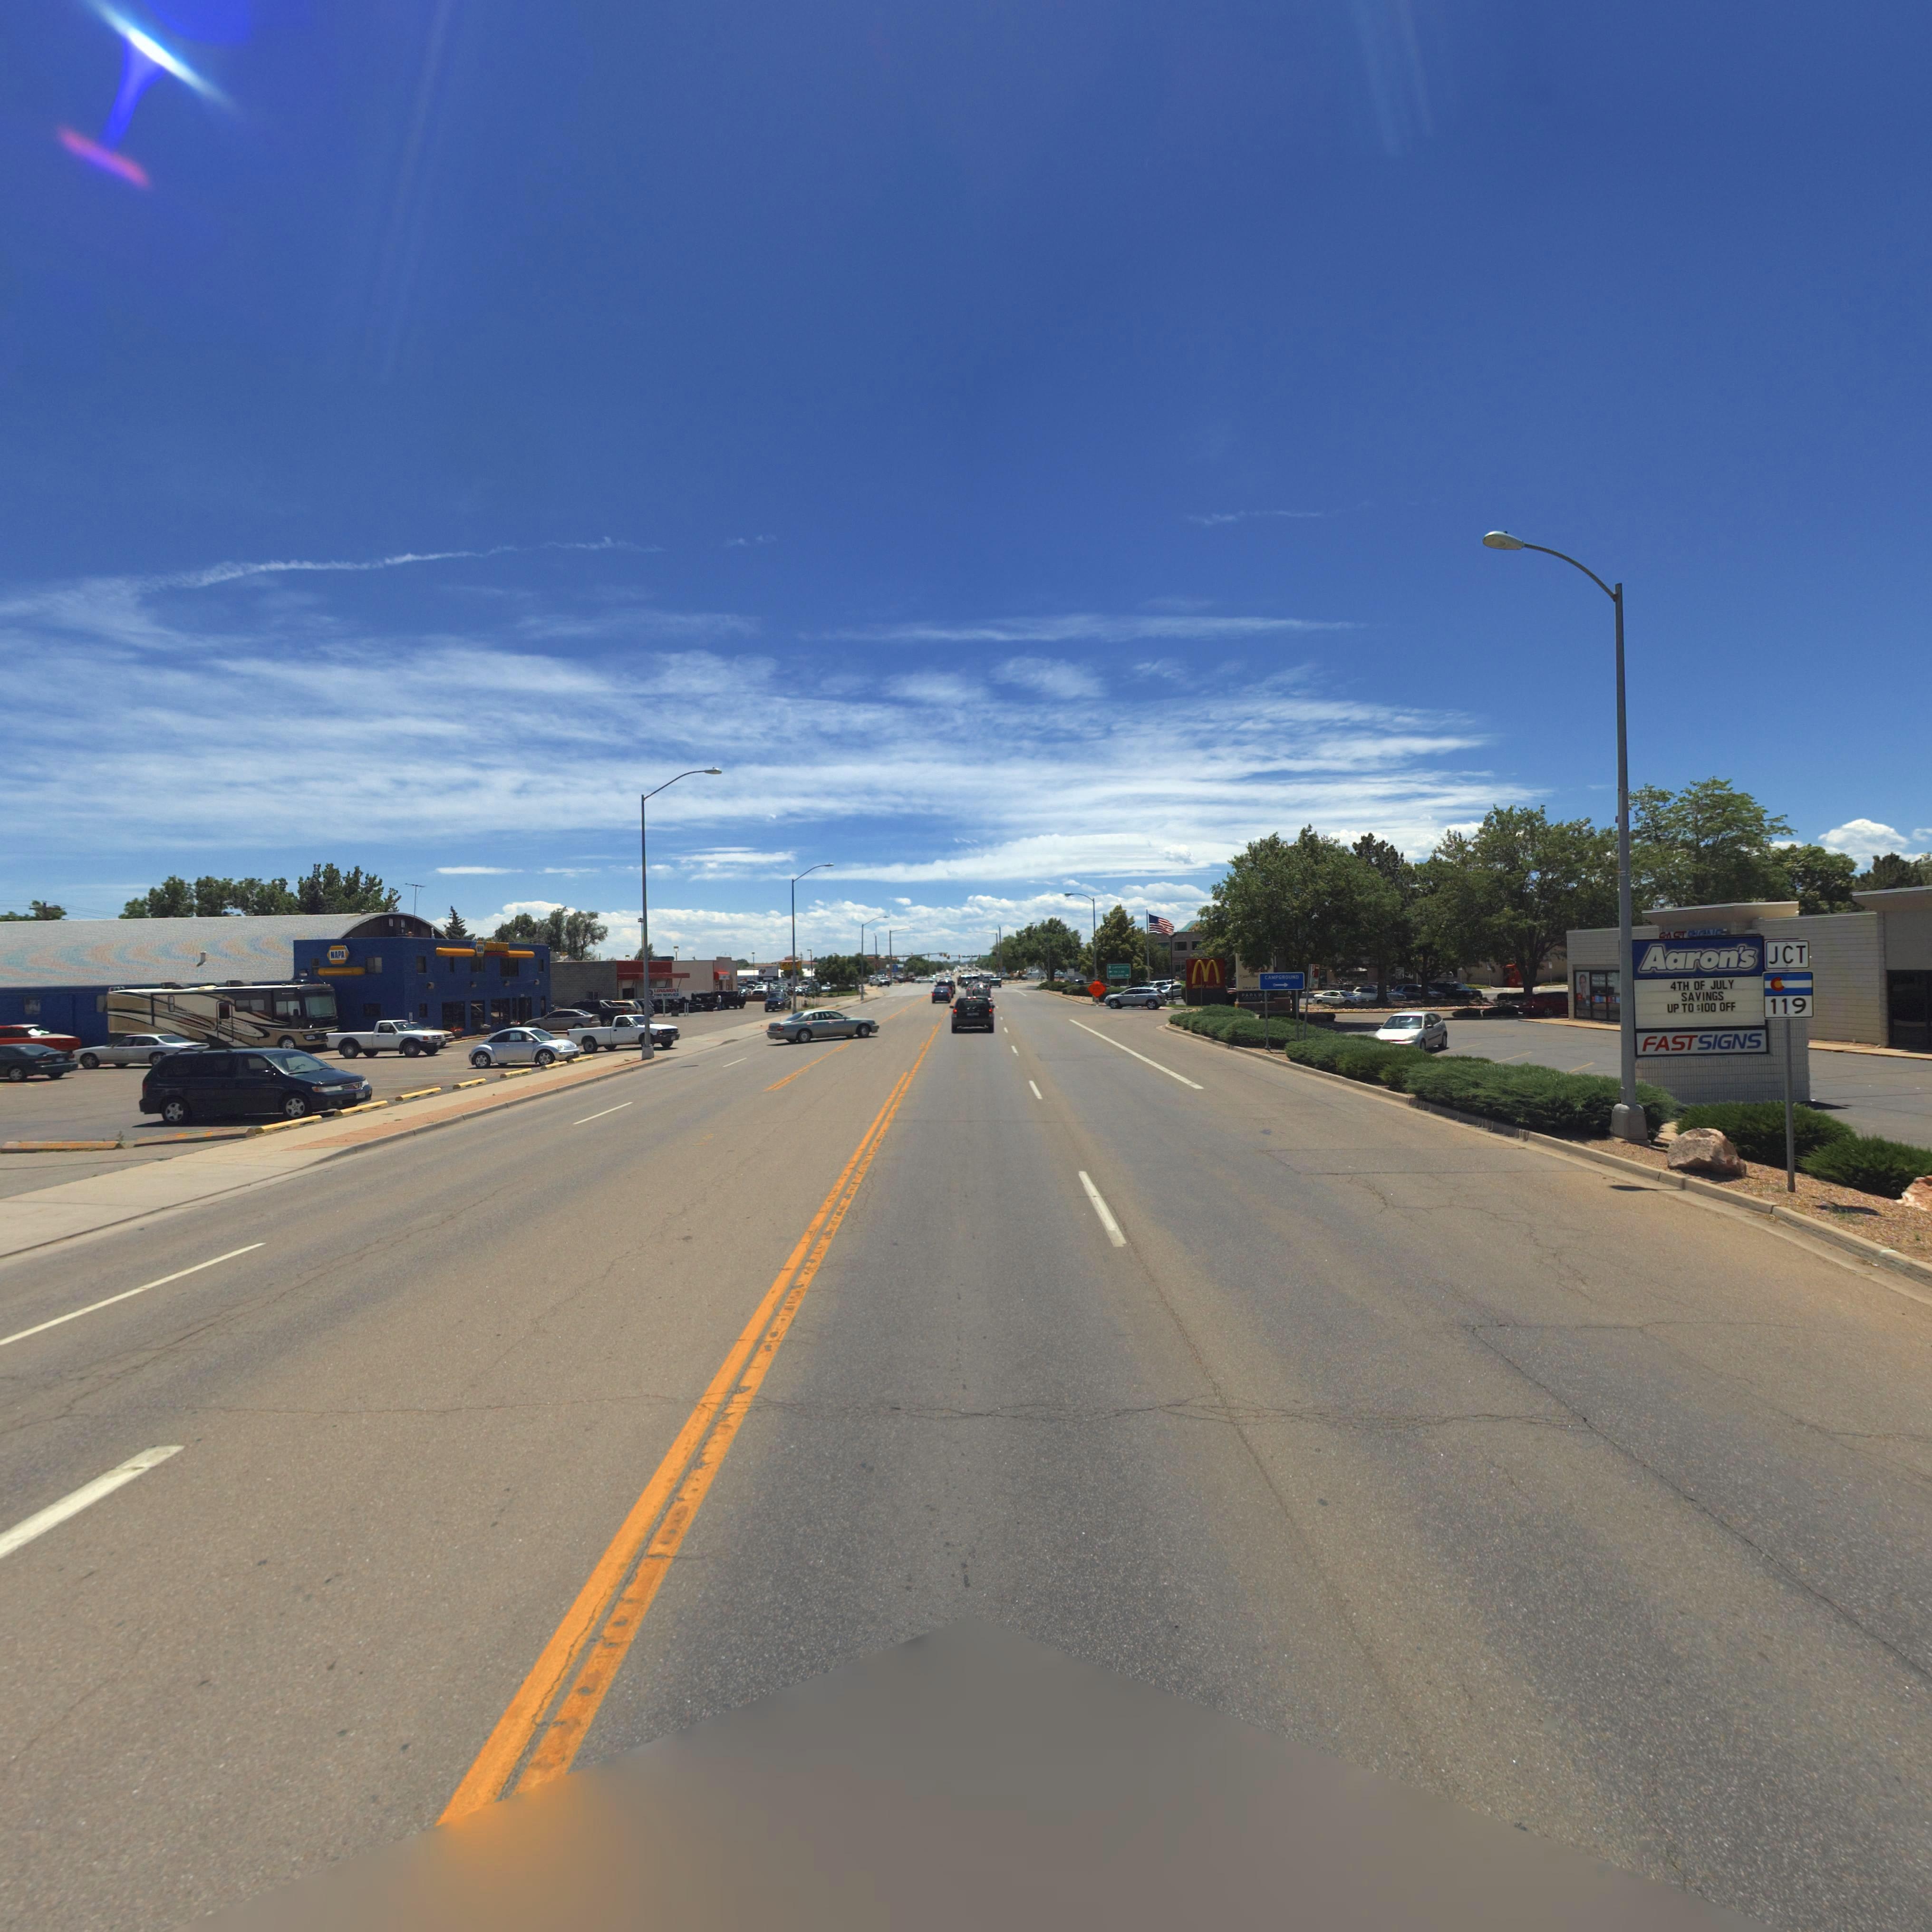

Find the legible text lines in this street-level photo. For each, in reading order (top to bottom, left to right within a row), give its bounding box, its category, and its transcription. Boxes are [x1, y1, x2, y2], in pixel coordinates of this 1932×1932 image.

[476, 945, 483, 952] BusinessName: *APA
[484, 941, 510, 952] BusinessName: A******TS
[330, 950, 345, 959] BusinessName: NAPA
[1637, 944, 1757, 972] BusinessName: Aaron's
[781, 962, 799, 967] BusinessName: ZO*
[1642, 1032, 1762, 1052] BusinessName: FAST SIGNS